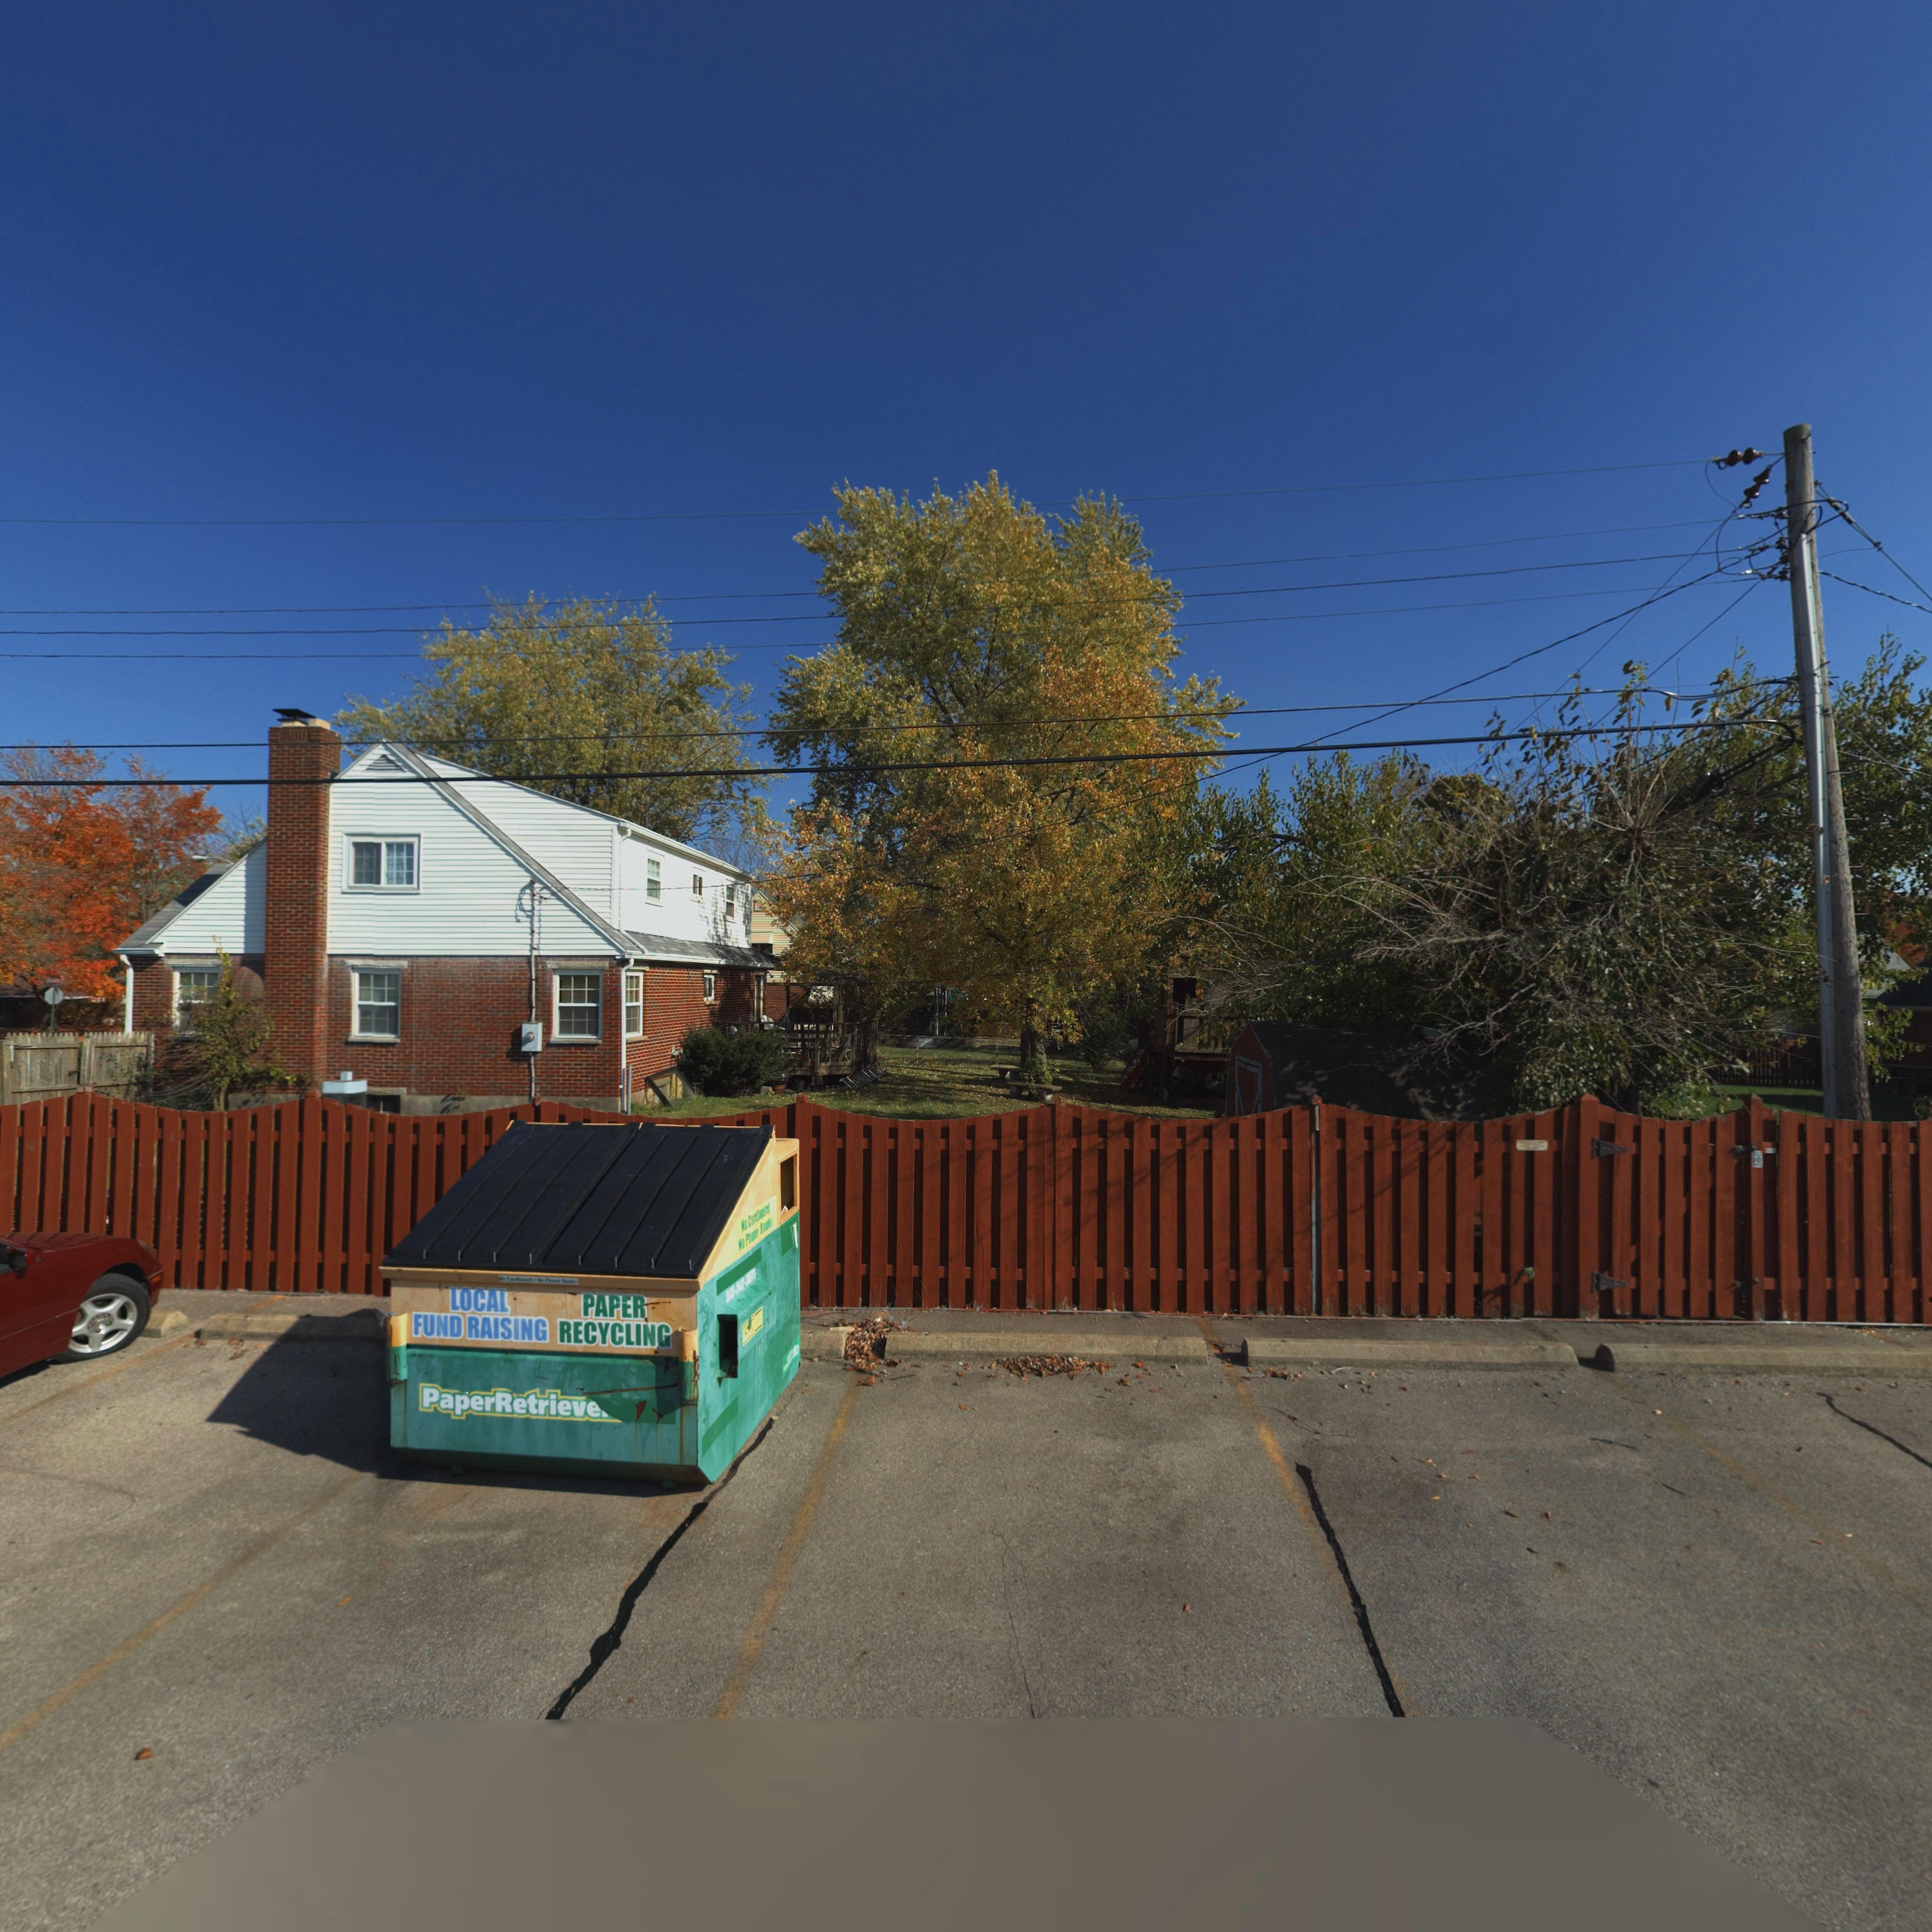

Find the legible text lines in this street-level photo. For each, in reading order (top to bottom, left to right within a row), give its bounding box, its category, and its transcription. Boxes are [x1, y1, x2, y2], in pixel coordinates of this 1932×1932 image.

[741, 1201, 770, 1233] None: No Cardboard
[737, 1217, 773, 1253] None: No Phone Books
[449, 1286, 510, 1314] None: LOCAL
[582, 1293, 646, 1320] None: PAPER
[724, 1266, 756, 1305] None: 513-242-3671
[413, 1313, 548, 1342] None: FUND RAISING
[559, 1321, 671, 1348] None: RECYCLING
[422, 1387, 589, 1417] None: PaperRetriev